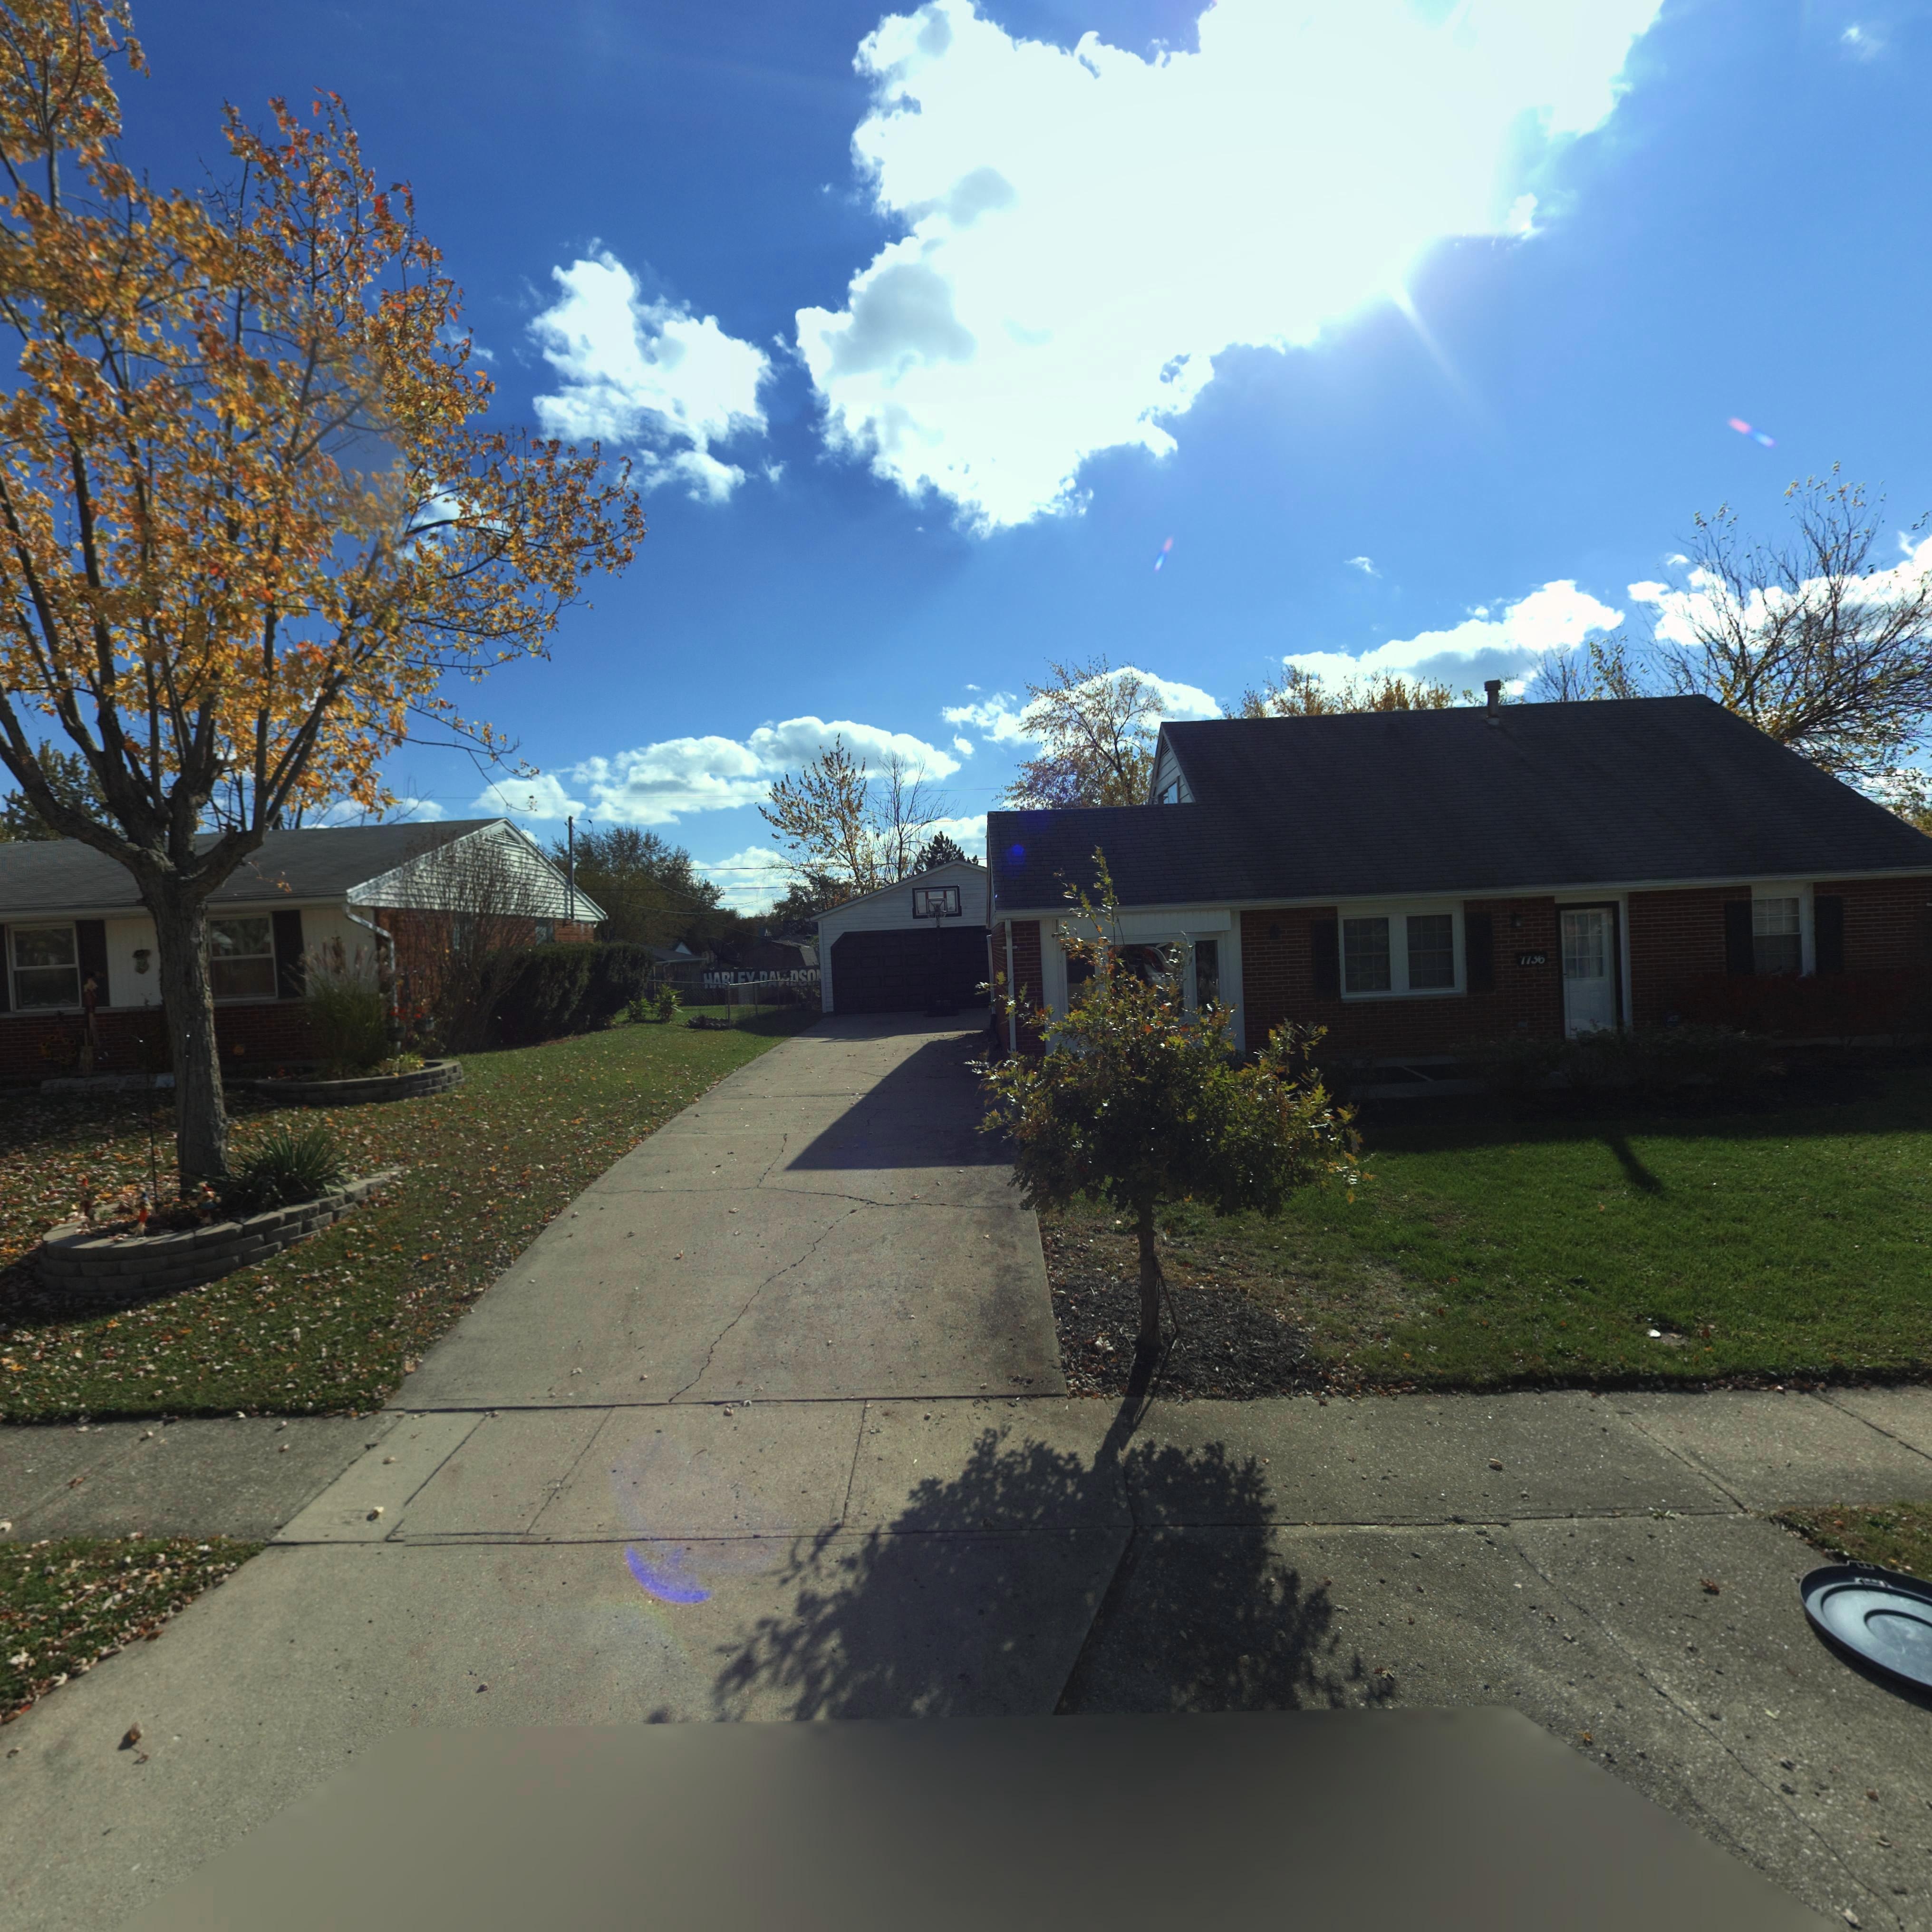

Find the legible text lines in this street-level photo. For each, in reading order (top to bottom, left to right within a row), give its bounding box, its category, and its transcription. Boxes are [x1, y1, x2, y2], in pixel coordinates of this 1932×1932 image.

[1518, 955, 1546, 965] StreetNumber: 7736